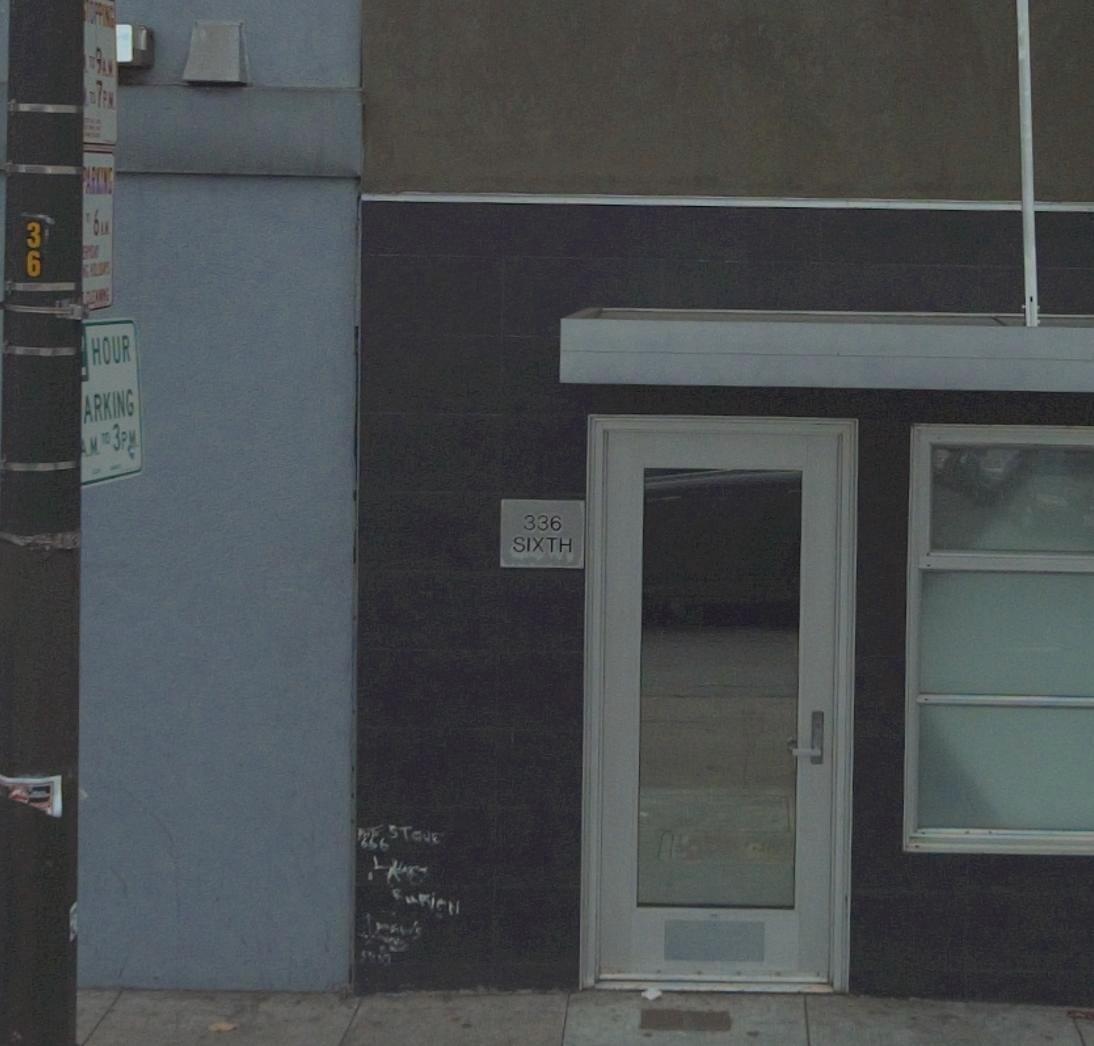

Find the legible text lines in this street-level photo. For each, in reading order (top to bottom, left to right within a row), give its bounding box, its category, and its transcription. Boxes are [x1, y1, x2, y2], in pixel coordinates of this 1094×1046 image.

[92, 43, 105, 77] None: 9
[91, 77, 106, 111] None: 7
[90, 206, 102, 239] None: 6
[22, 217, 46, 282] None: 36
[88, 331, 135, 369] None: HOUR
[81, 385, 138, 427] None: ARKING
[86, 420, 139, 459] None: M. TO 3 P *
[522, 512, 564, 533] StreetNumber: 336
[511, 534, 574, 555] StreetName: SIXTH